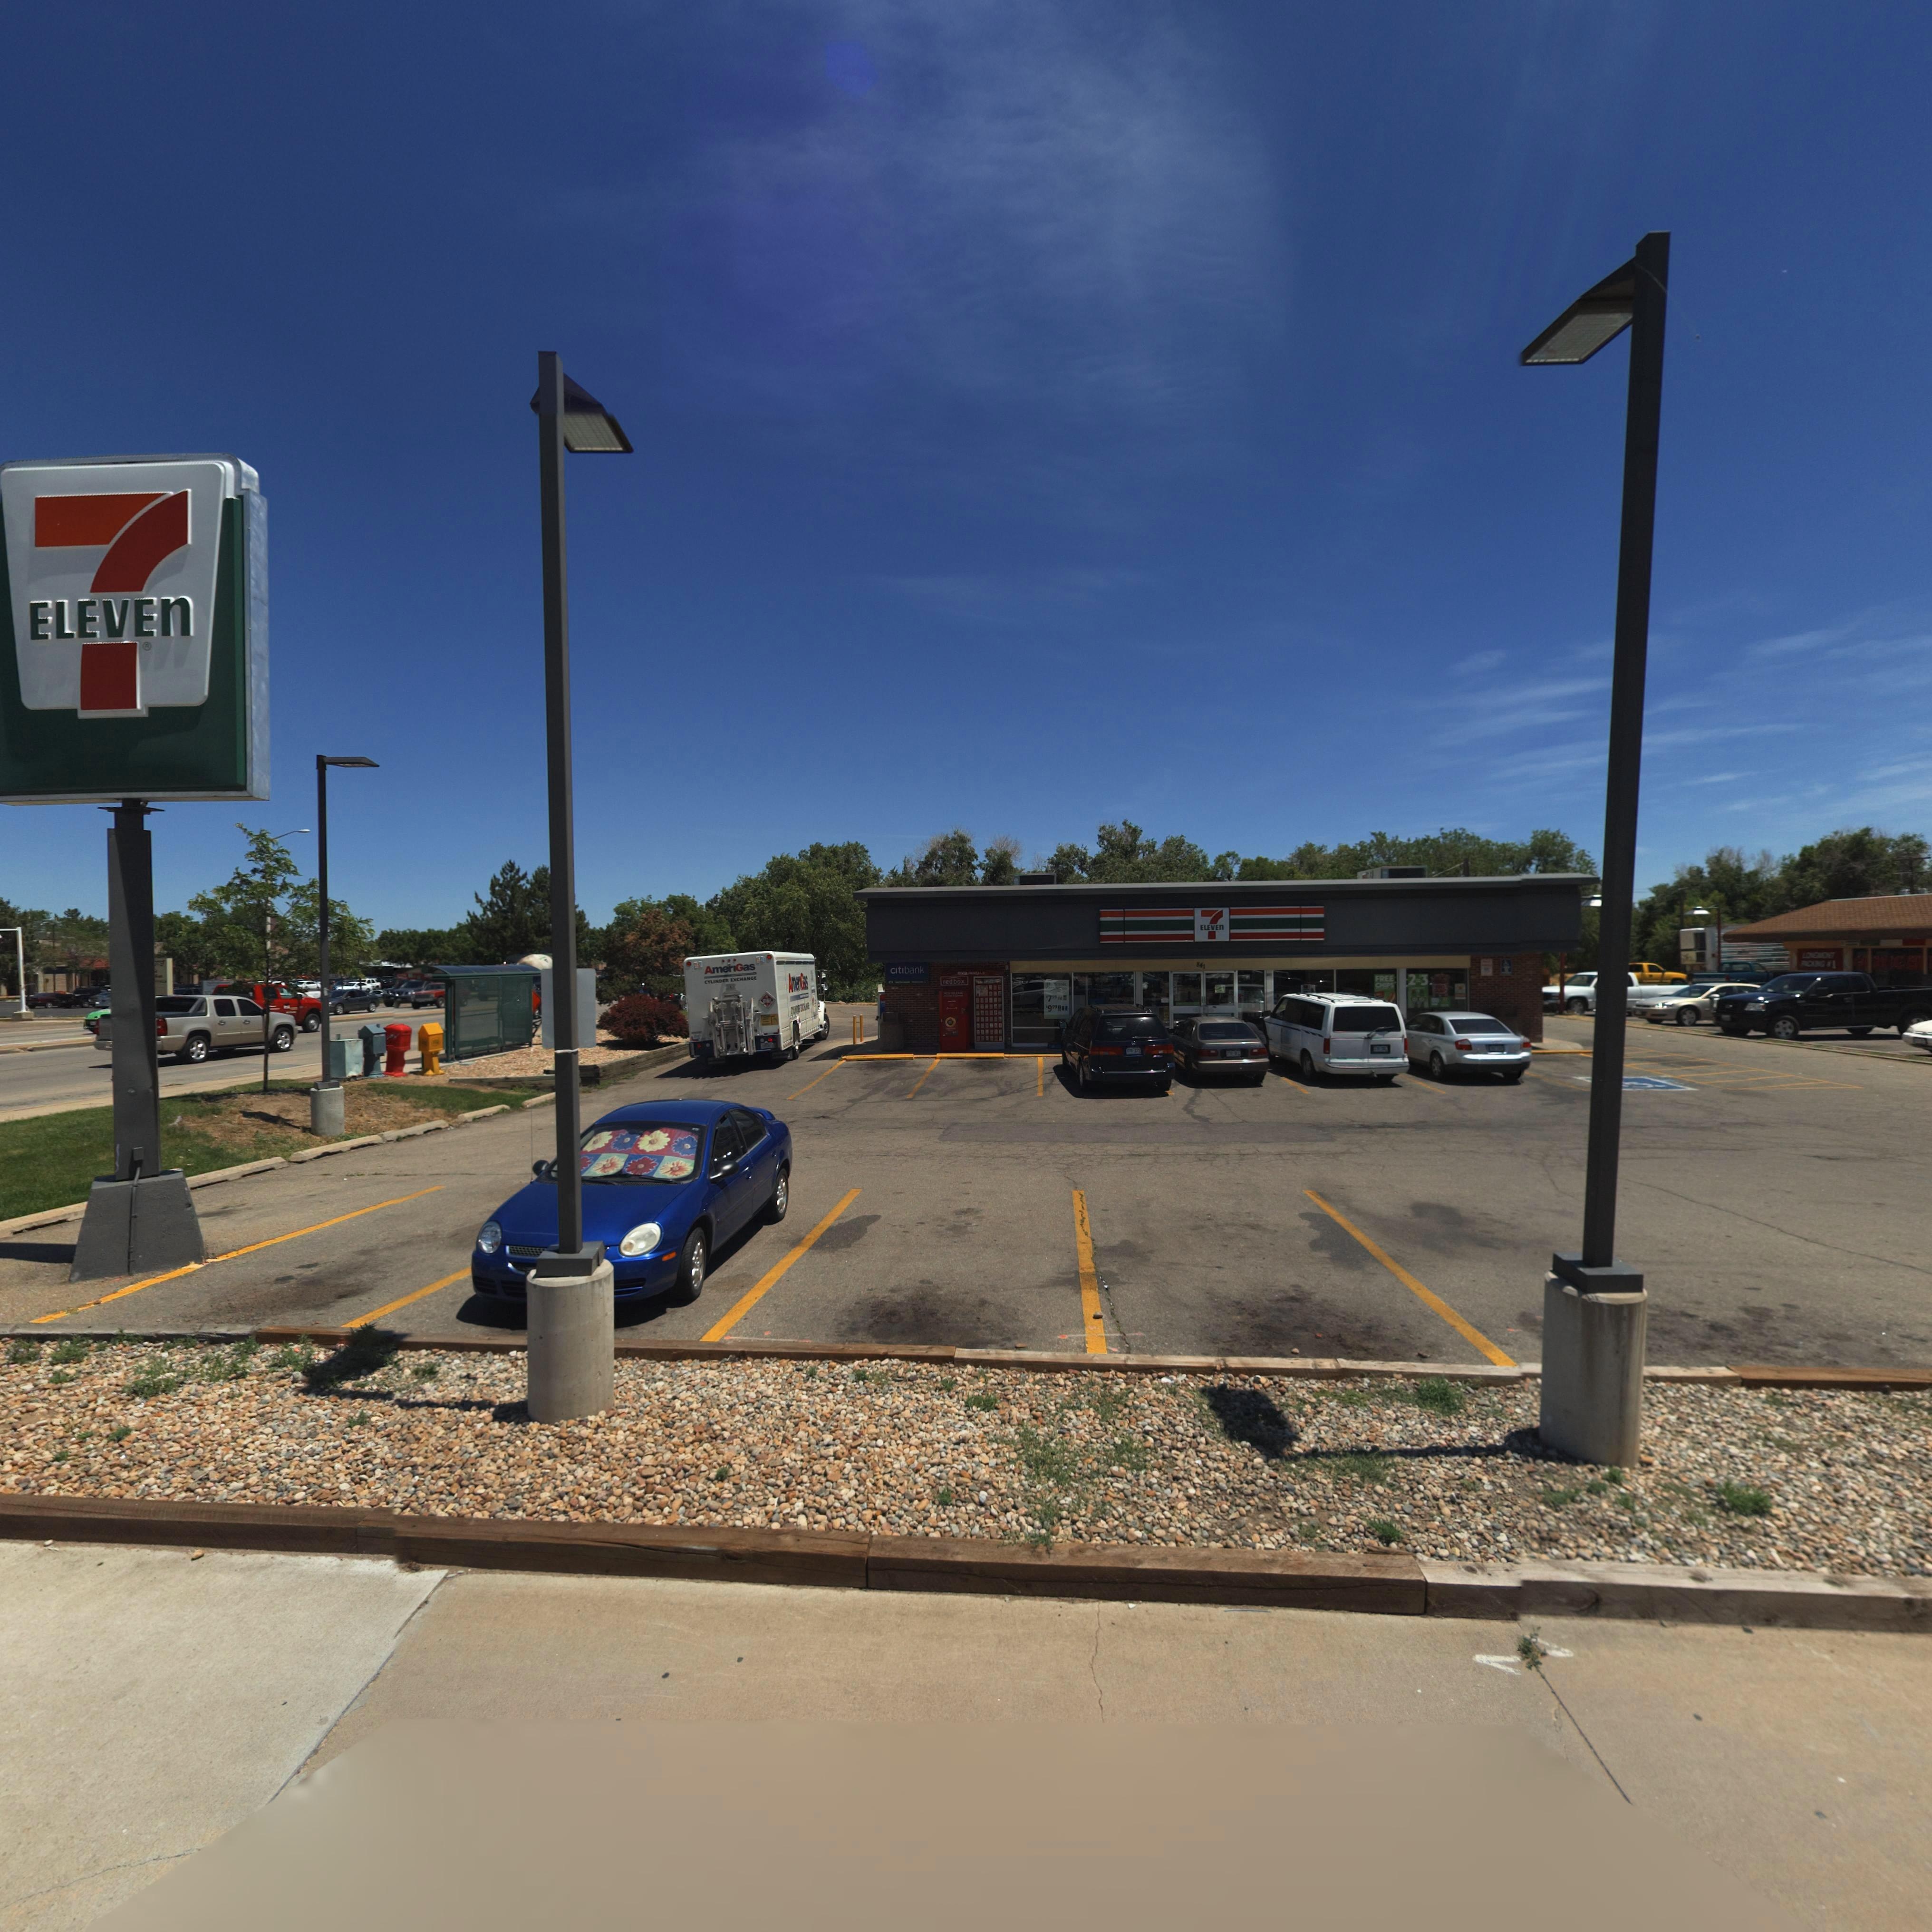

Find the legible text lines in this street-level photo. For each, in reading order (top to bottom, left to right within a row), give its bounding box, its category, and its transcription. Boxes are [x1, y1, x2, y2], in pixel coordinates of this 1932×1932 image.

[30, 486, 194, 718] BusinessName: 7
[27, 594, 196, 642] BusinessName: ELEVEn
[1199, 908, 1224, 940] BusinessName: 7
[1199, 924, 1224, 930] BusinessName: ELEVEn
[890, 965, 925, 974] BusinessName: citibank
[1196, 960, 1206, 969] StreetNumber: 841
[943, 977, 965, 984] BusinessName: redbox